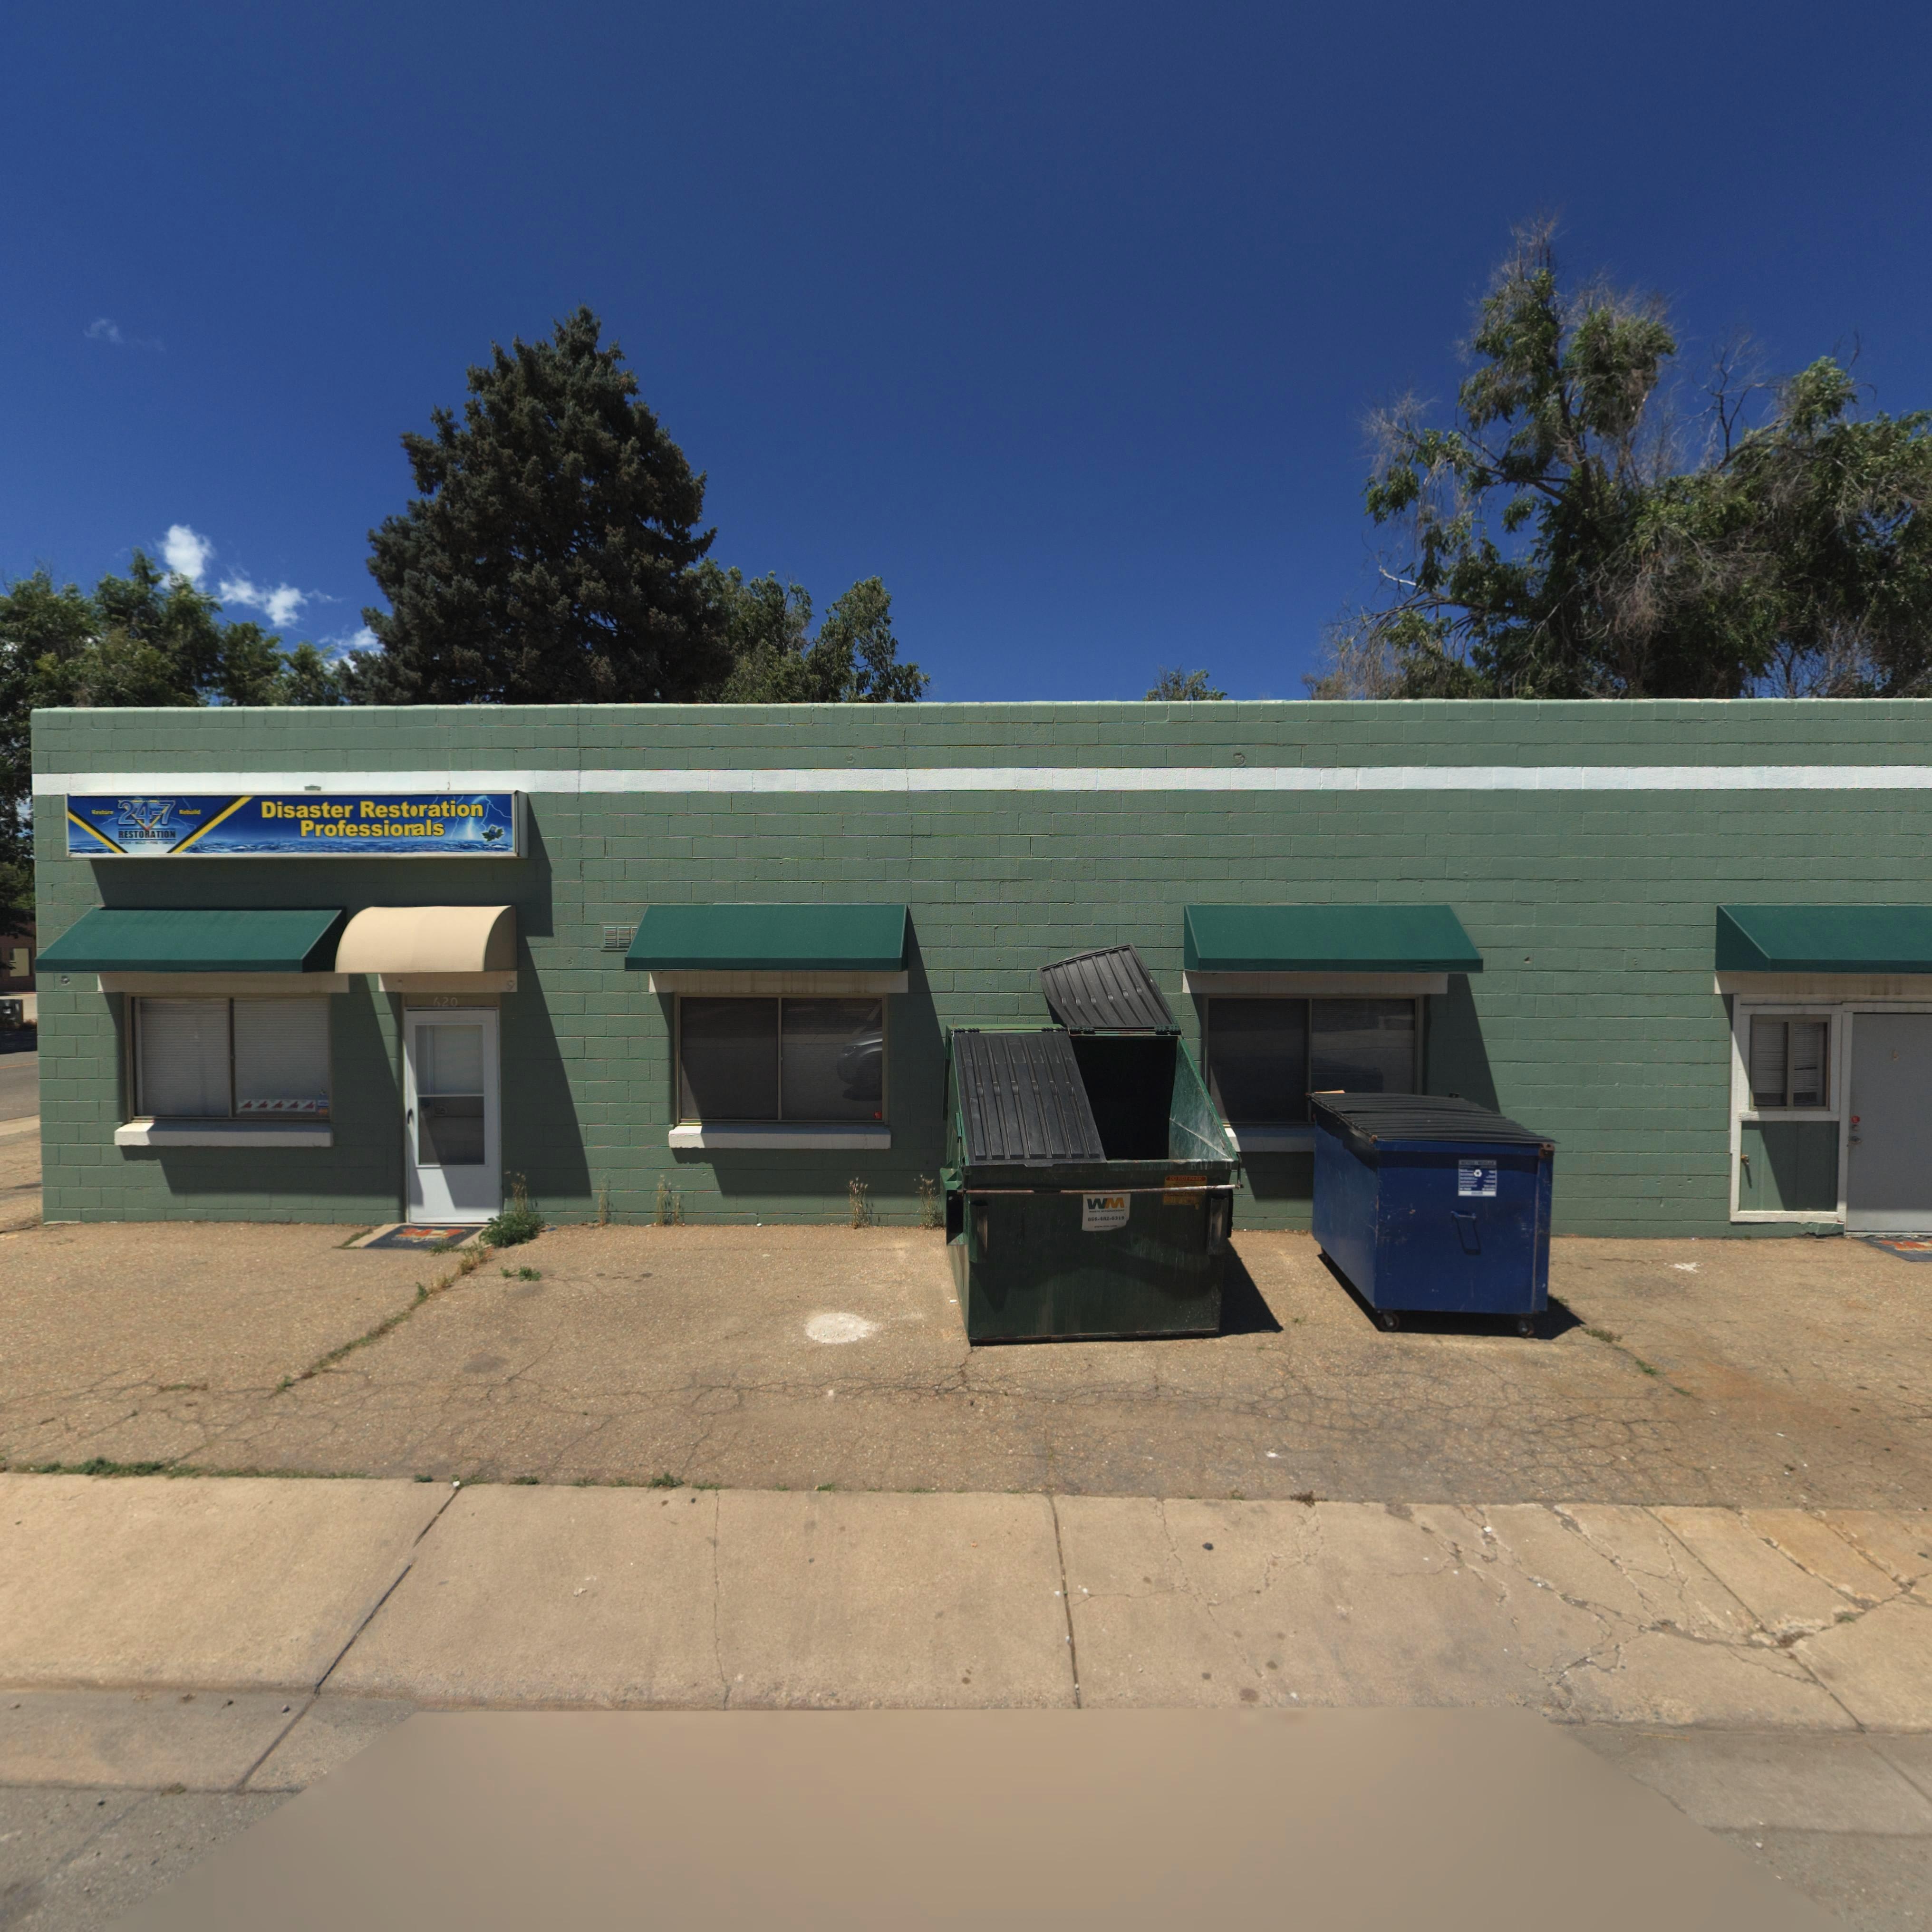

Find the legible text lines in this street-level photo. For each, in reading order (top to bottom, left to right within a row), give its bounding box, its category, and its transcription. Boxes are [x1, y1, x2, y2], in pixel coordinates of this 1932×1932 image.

[117, 799, 175, 824] BusinessName: 24-7
[118, 830, 175, 838] BusinessName: RESTORATION
[433, 996, 458, 1007] StreetNumber: 620